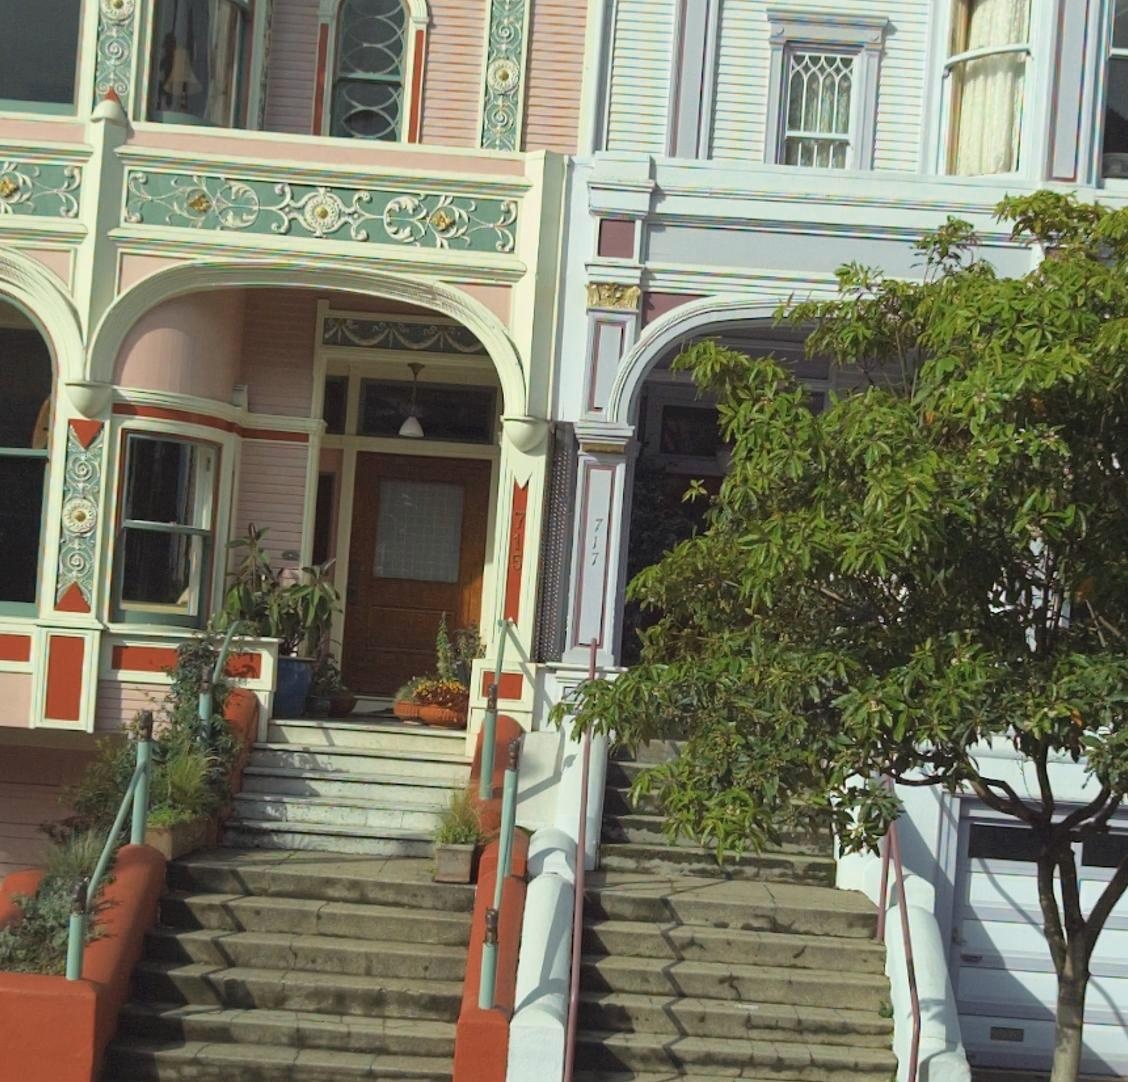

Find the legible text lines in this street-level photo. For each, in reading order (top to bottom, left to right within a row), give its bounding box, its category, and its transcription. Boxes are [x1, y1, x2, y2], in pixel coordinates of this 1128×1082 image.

[508, 509, 528, 573] StreetNumber: 715
[588, 516, 607, 569] StreetNumber: 717